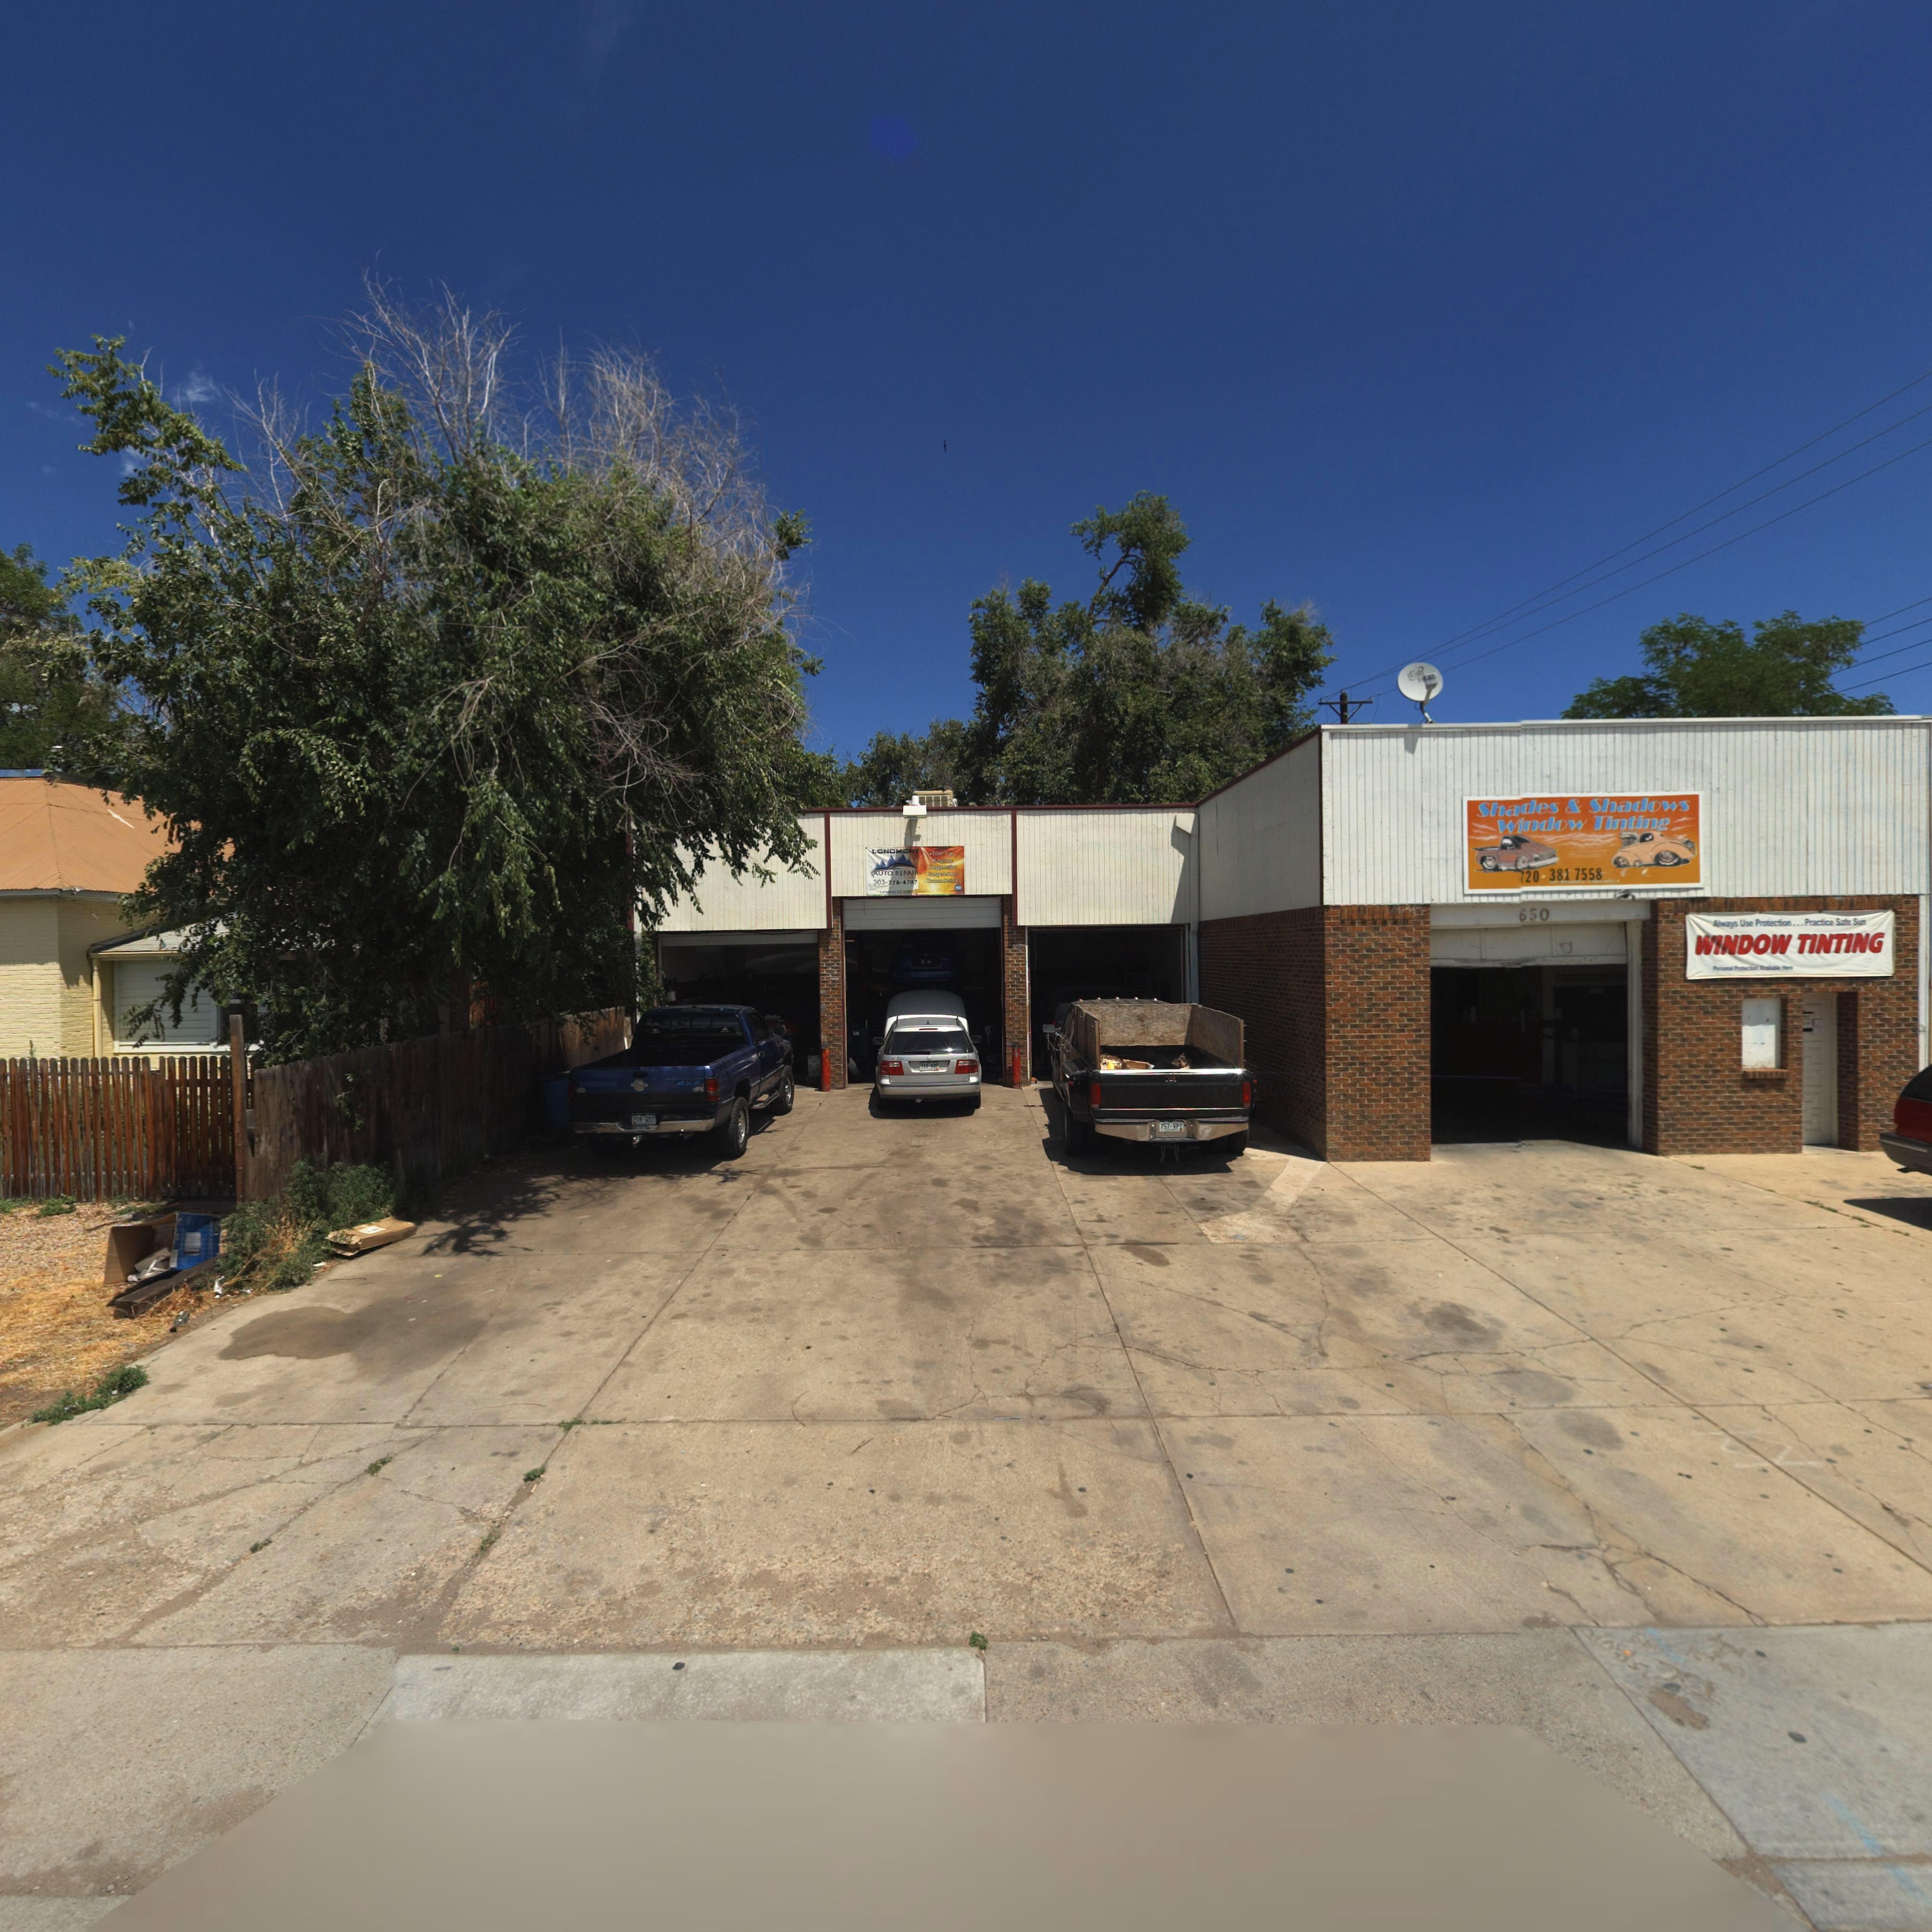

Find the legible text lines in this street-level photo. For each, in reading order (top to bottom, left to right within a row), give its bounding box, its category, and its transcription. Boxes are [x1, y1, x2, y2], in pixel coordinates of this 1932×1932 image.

[1476, 797, 1691, 819] BusinessName: Shades & Shadows
[871, 848, 919, 853] BusinessName: LONGMONT
[1518, 907, 1550, 921] StreetNumber: 650